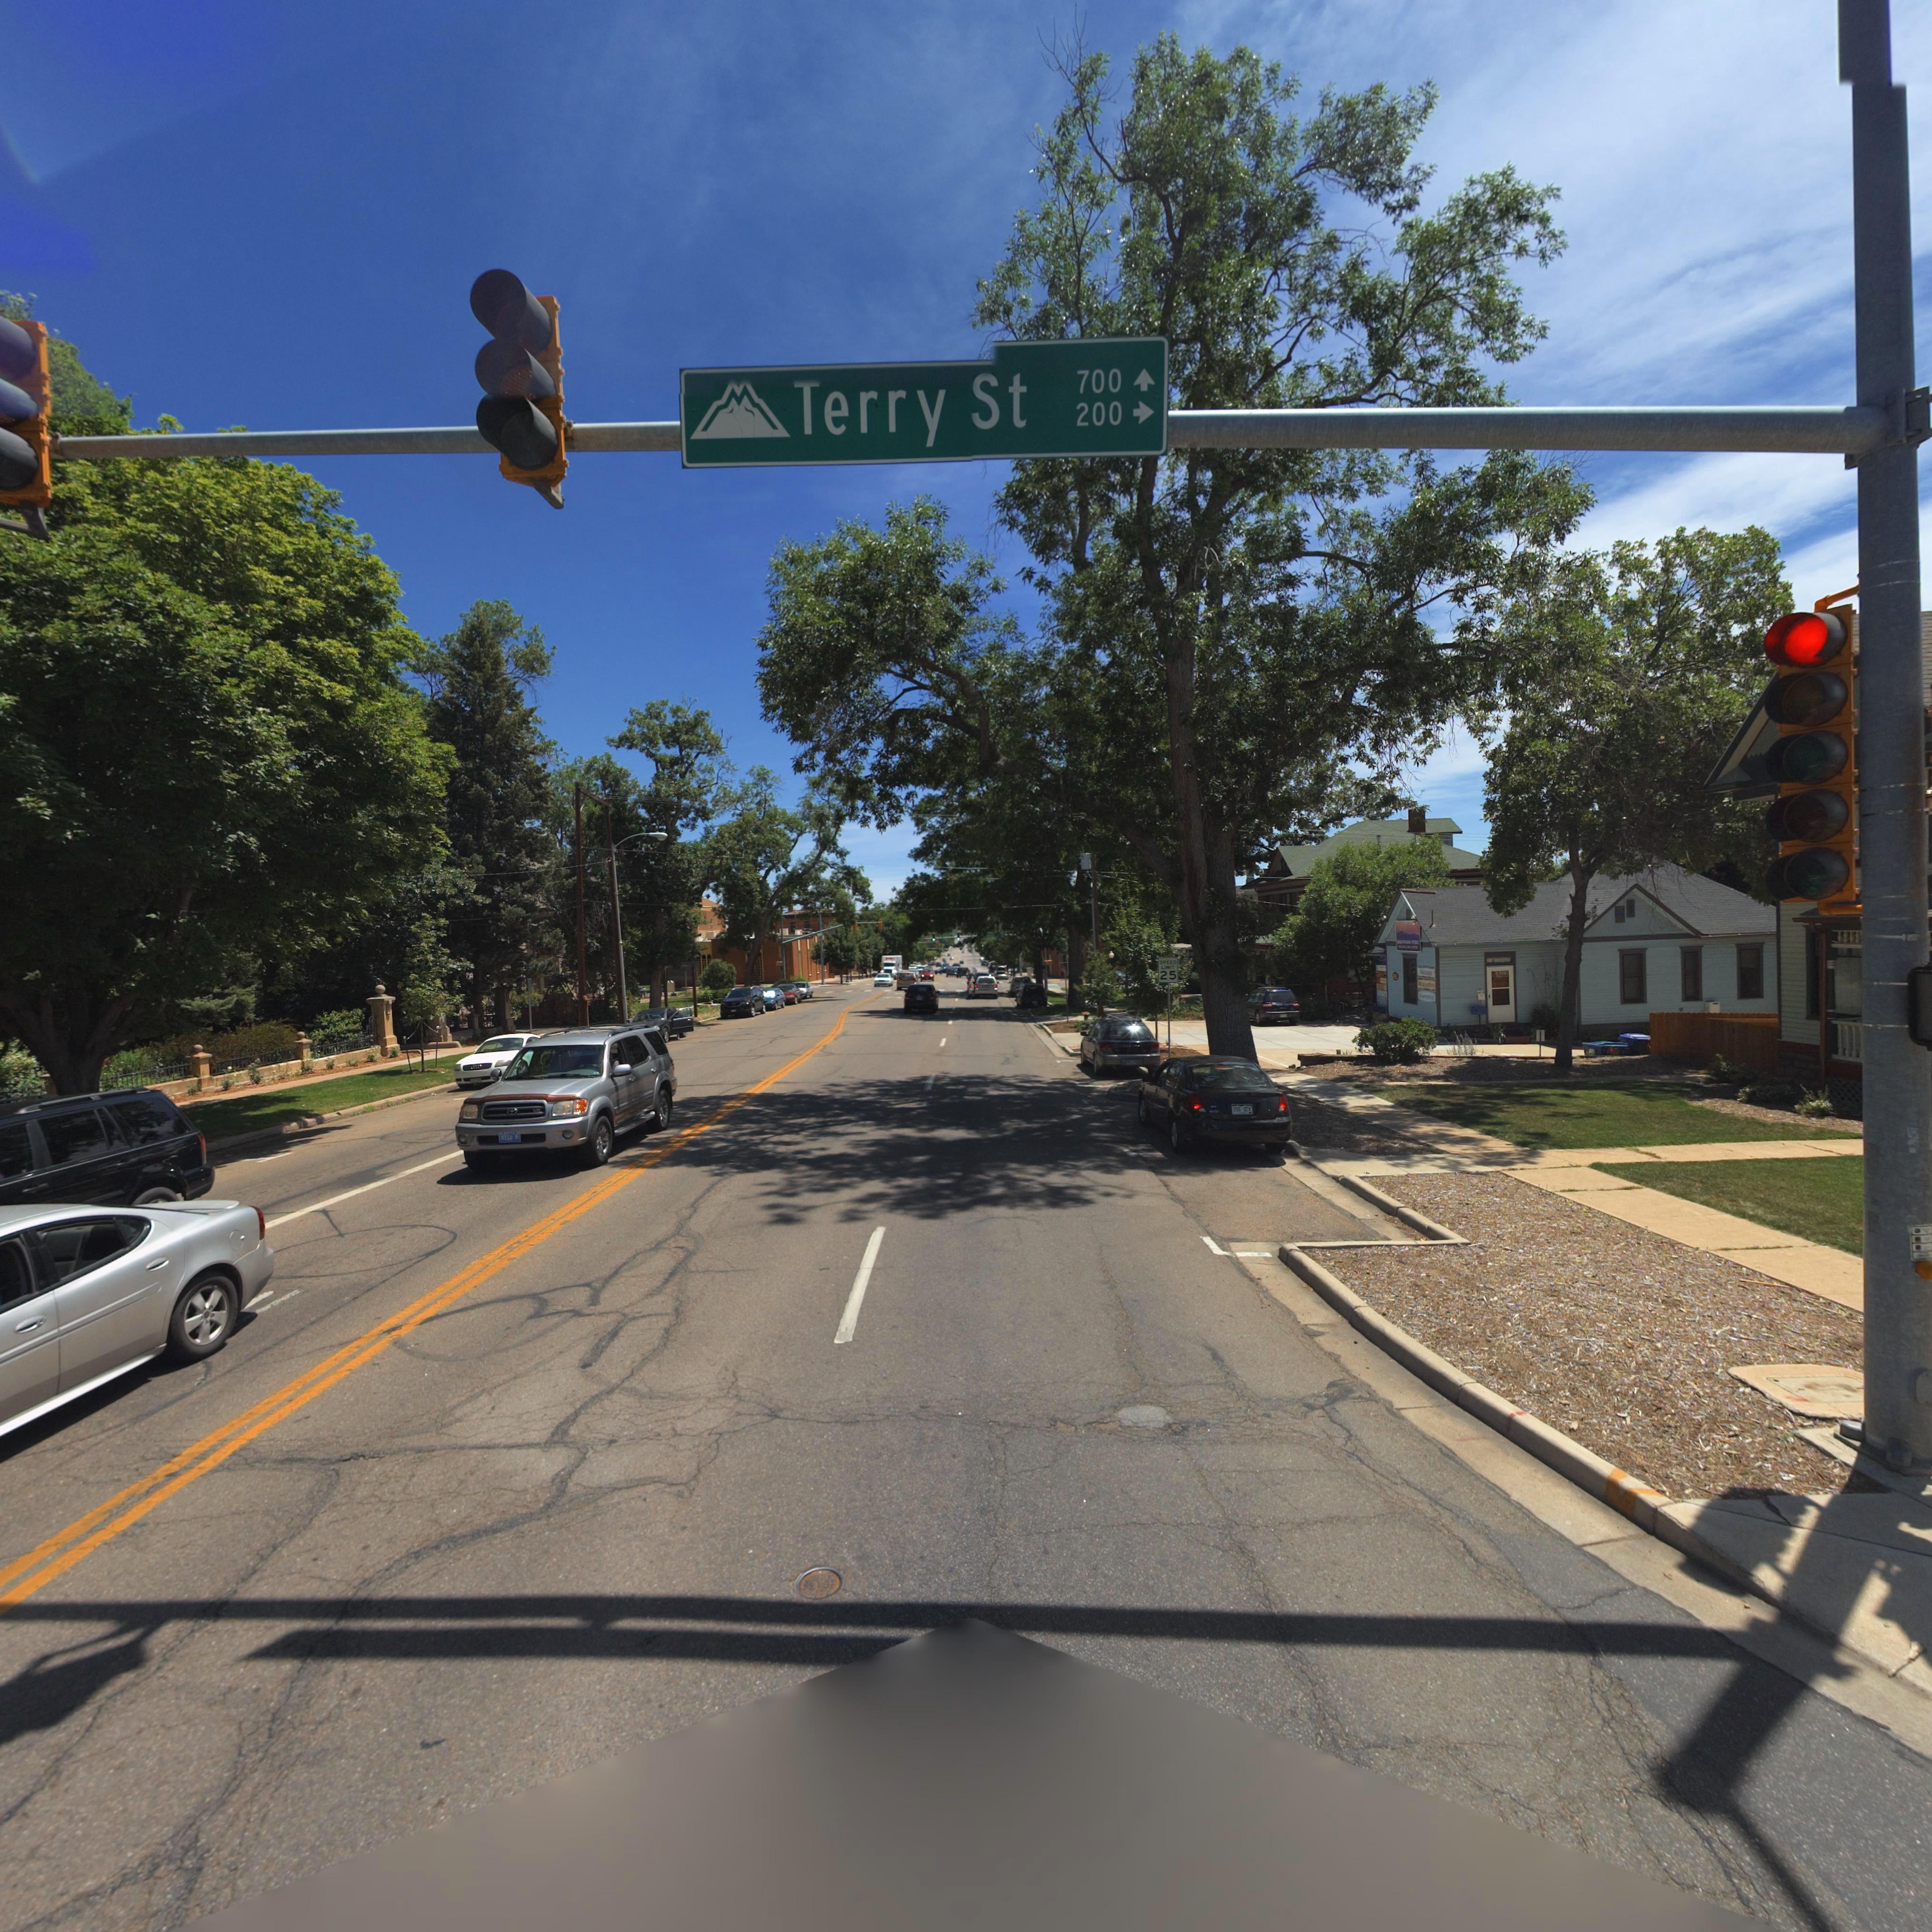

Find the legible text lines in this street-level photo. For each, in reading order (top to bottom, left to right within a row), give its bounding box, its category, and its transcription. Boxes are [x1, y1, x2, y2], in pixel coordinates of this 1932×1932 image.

[1076, 367, 1121, 394] StreetNumberRange: 700
[792, 372, 1027, 447] StreetName: Terry St
[1075, 400, 1156, 426] StreetNumberRange: 200->